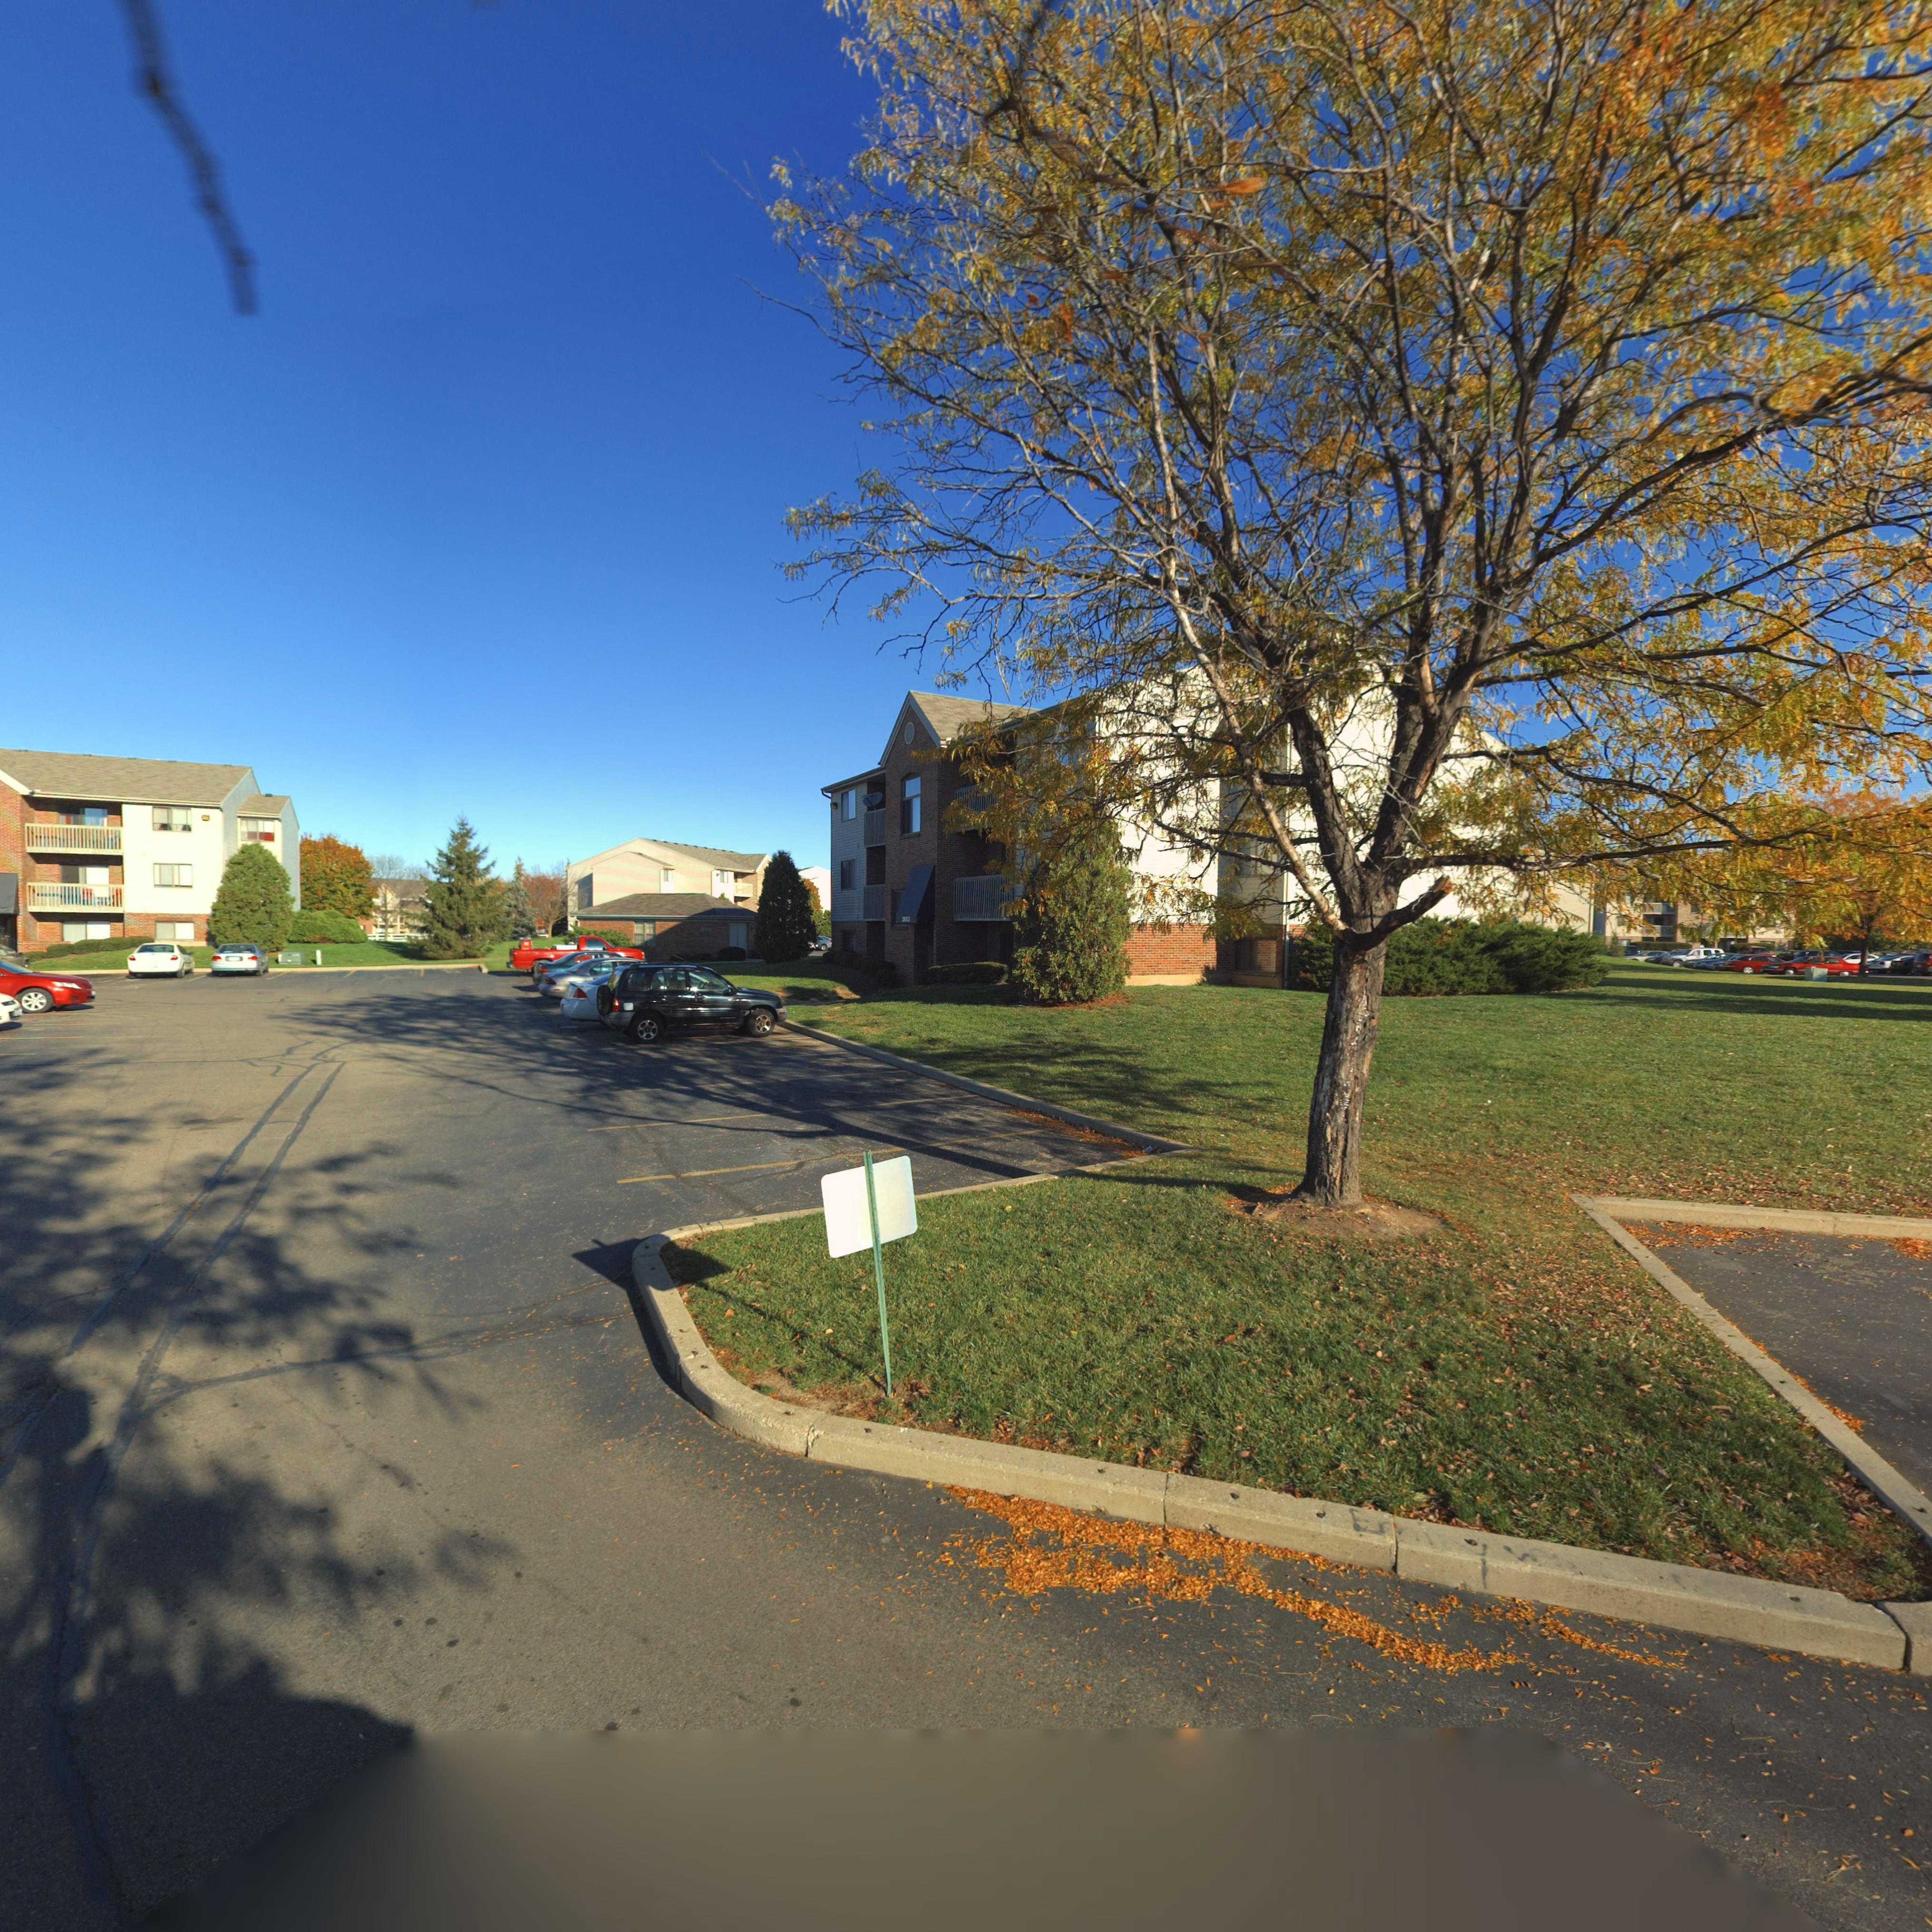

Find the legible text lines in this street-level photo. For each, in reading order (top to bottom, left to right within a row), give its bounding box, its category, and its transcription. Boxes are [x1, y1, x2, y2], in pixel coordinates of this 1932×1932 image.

[901, 916, 910, 922] StreetNumber: 2683